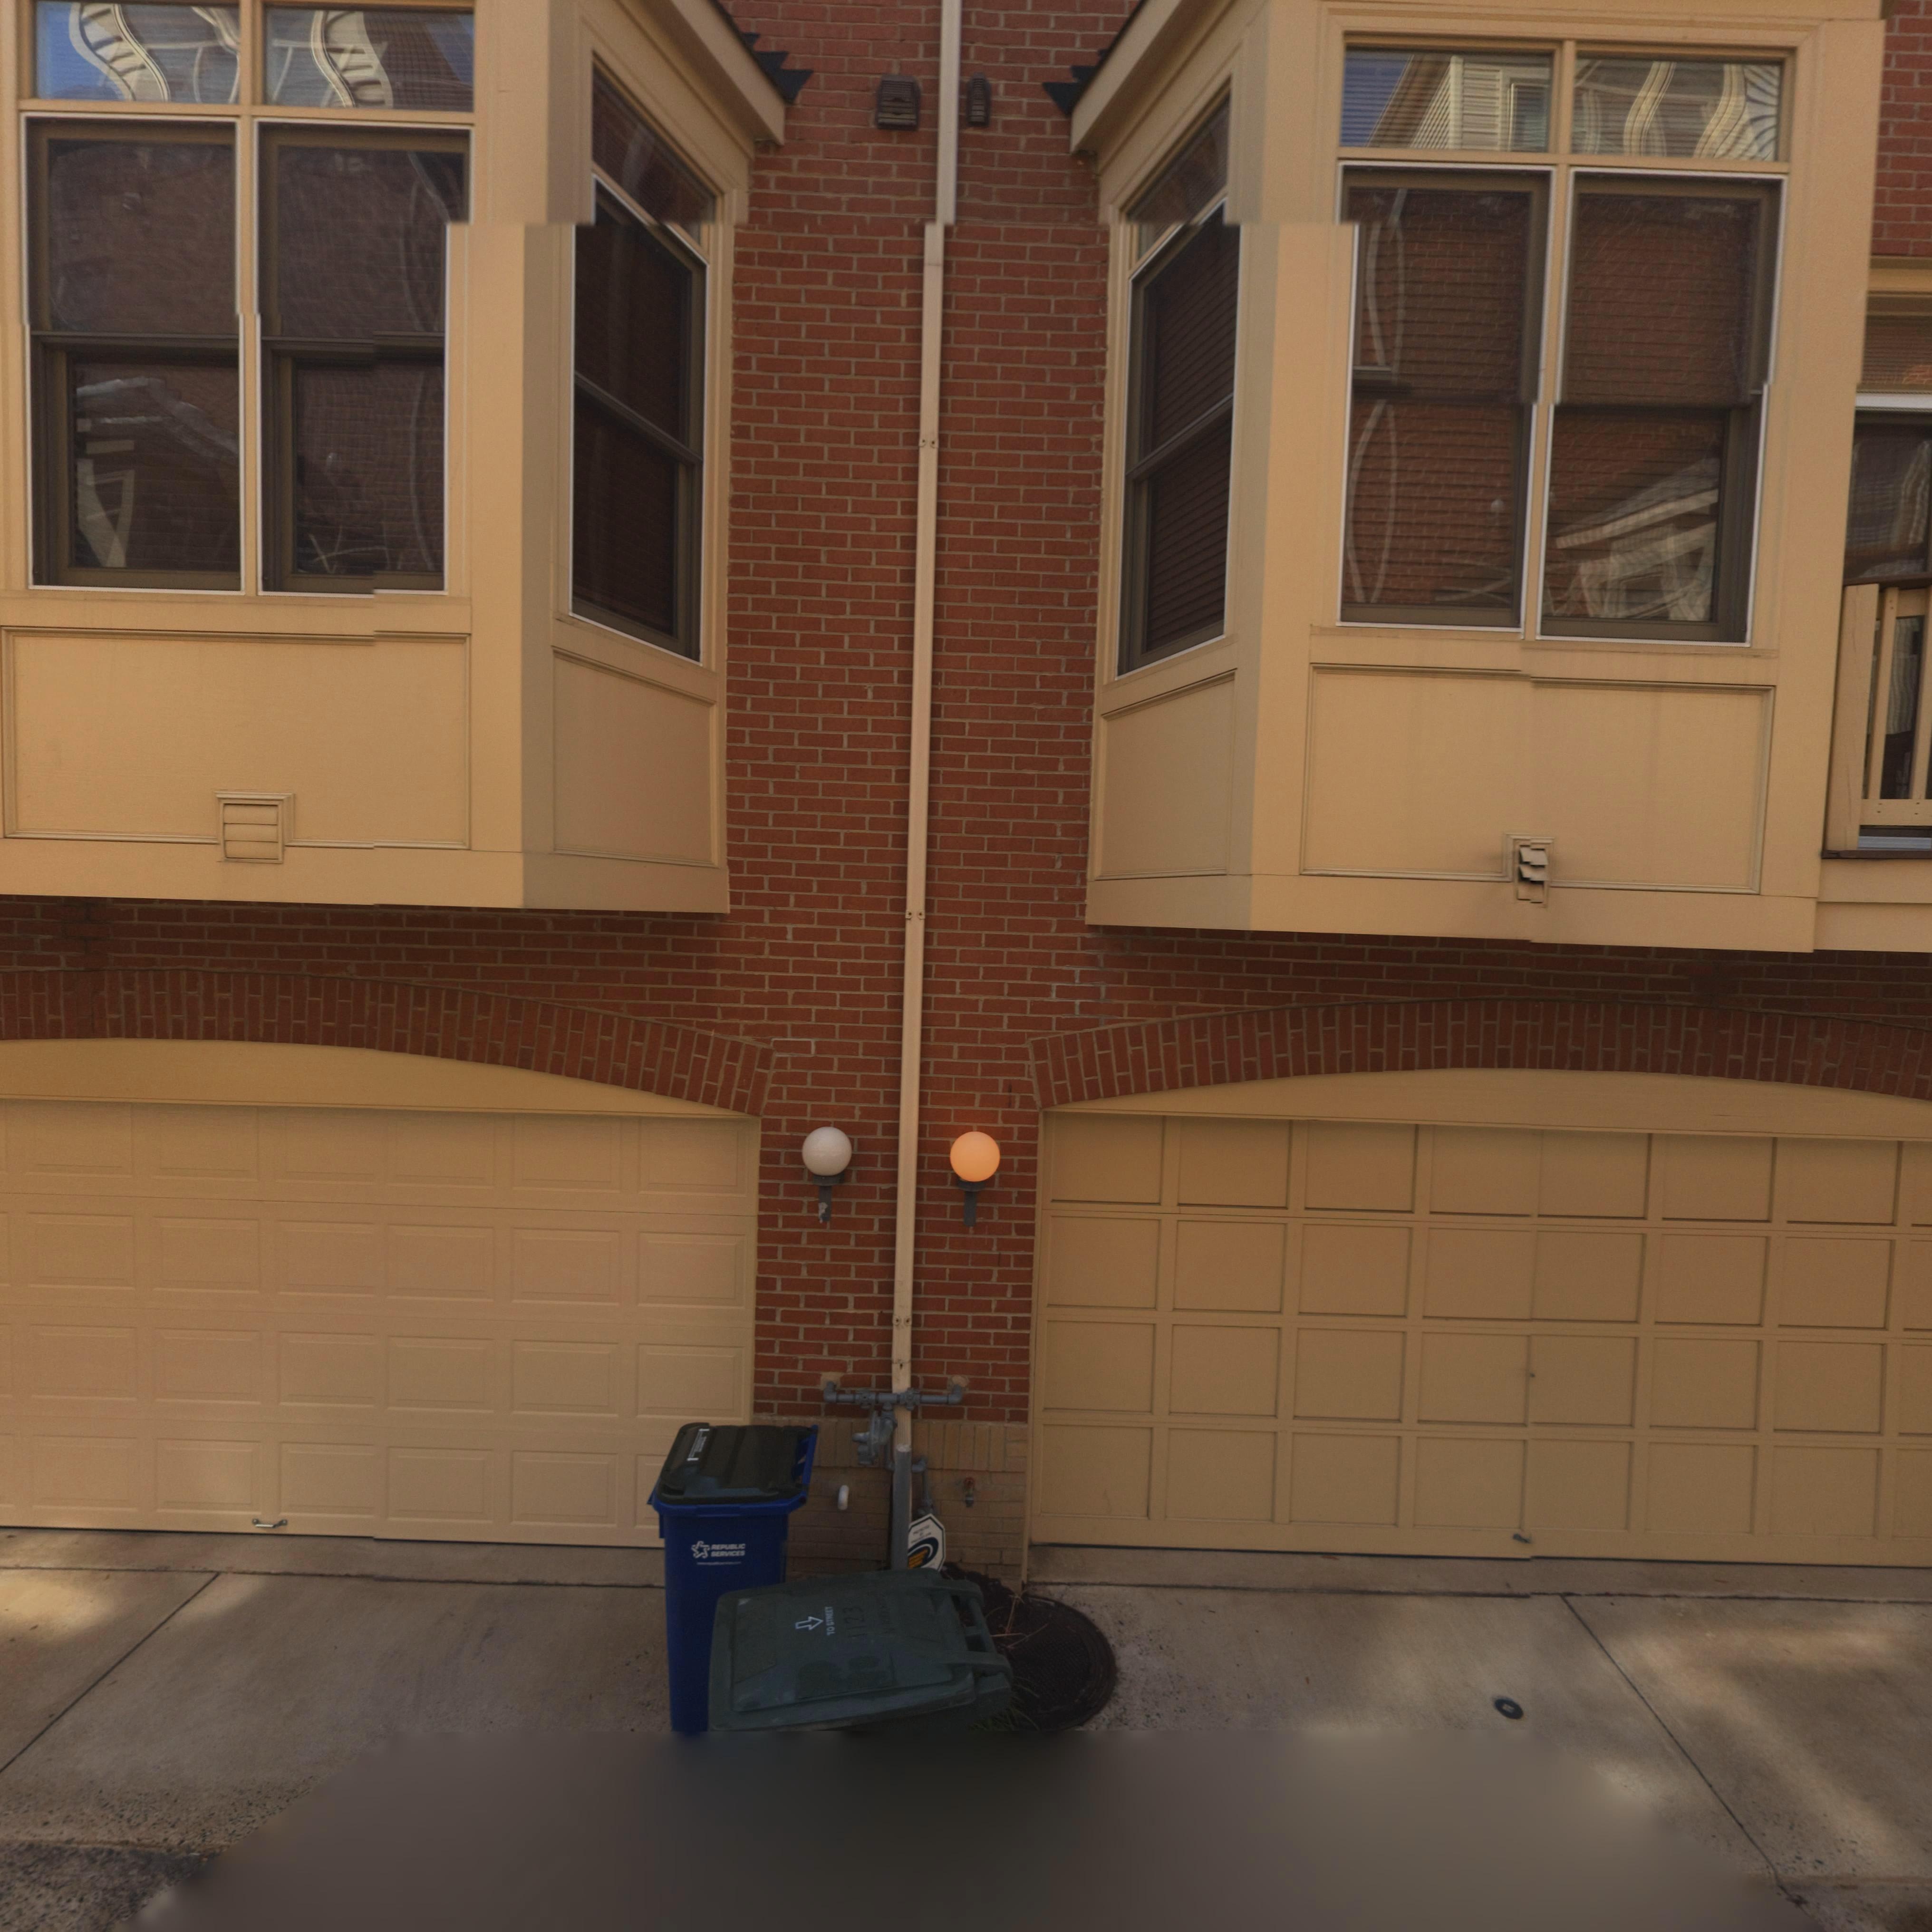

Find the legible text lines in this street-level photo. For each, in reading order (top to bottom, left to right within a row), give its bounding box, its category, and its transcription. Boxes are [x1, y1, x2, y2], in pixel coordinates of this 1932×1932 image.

[825, 1625, 837, 1637] None: TO
[840, 1604, 870, 1640] None: 1123